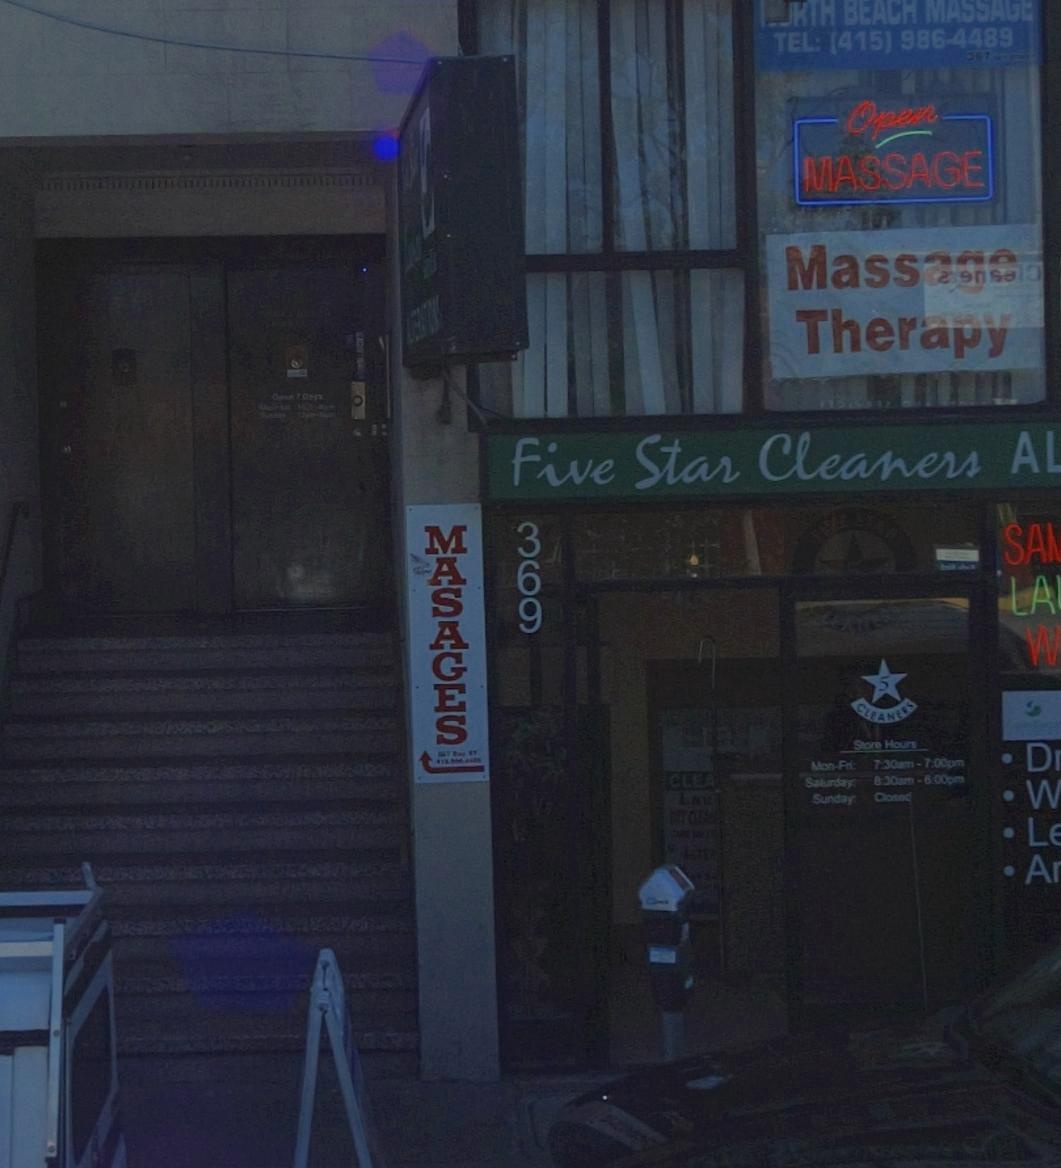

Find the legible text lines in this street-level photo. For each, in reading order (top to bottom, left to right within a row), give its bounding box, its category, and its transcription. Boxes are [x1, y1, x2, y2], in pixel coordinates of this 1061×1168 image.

[770, 25, 1015, 55] None: TEL: (415) 986-4489
[964, 49, 993, 63] None: 367
[844, 98, 942, 143] None: Open
[803, 149, 985, 194] None: MASSAGE
[785, 243, 1019, 298] None: Massage
[794, 308, 1012, 361] None: Therapy
[269, 391, 324, 403] None: Open 7 Days
[508, 428, 1043, 492] BusinessName: Five Star Cleaners A
[854, 509, 902, 546] None: STAR
[1001, 521, 1049, 567] None: SA
[515, 520, 544, 635] StreetNumber: 369
[1009, 572, 1059, 618] None: LA
[423, 523, 470, 747] None: MASSAGE
[815, 605, 899, 635] None: LEANER
[1022, 624, 1061, 669] None: W
[876, 674, 891, 692] None: 5
[852, 699, 917, 724] None: CLEANERS
[669, 772, 716, 790] None: CLEA
[804, 775, 858, 791] None: Saturday:
[810, 758, 856, 774] None: Mon-Fri:
[811, 791, 858, 808] None: Sunday:
[852, 737, 917, 751] None: Store Hours
[872, 756, 965, 773] None: 7:30am-7:00pm
[872, 772, 965, 789] None: 8:30am-6:00pm
[1025, 740, 1054, 774] None: D
[1023, 776, 1061, 812] None: W
[1026, 815, 1051, 849] None: L
[1022, 851, 1055, 885] None: A